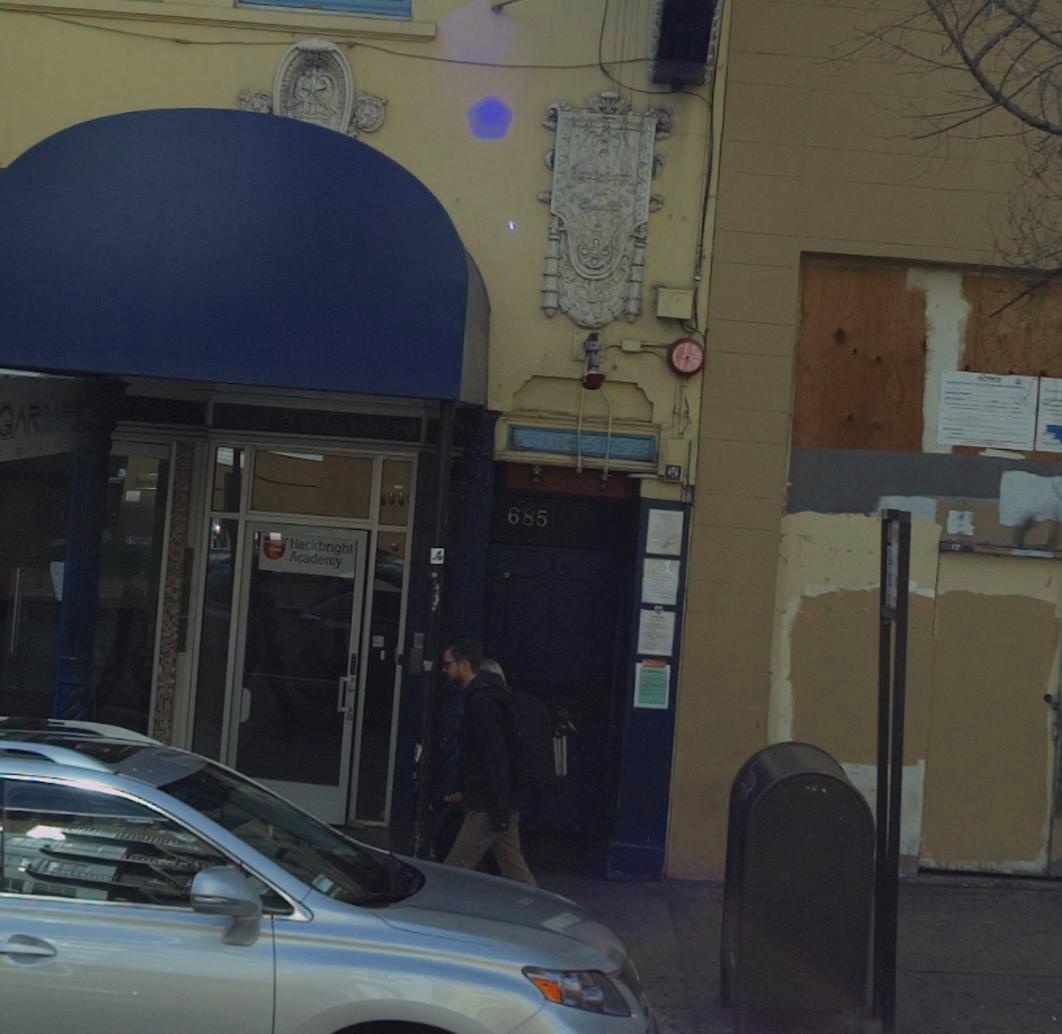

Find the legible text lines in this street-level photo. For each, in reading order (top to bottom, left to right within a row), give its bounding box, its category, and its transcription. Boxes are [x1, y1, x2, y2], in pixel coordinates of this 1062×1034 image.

[503, 502, 554, 532] StreetNumber: 685
[286, 546, 348, 573] BusinessName: Academy
[288, 533, 358, 559] BusinessName: Hackbright